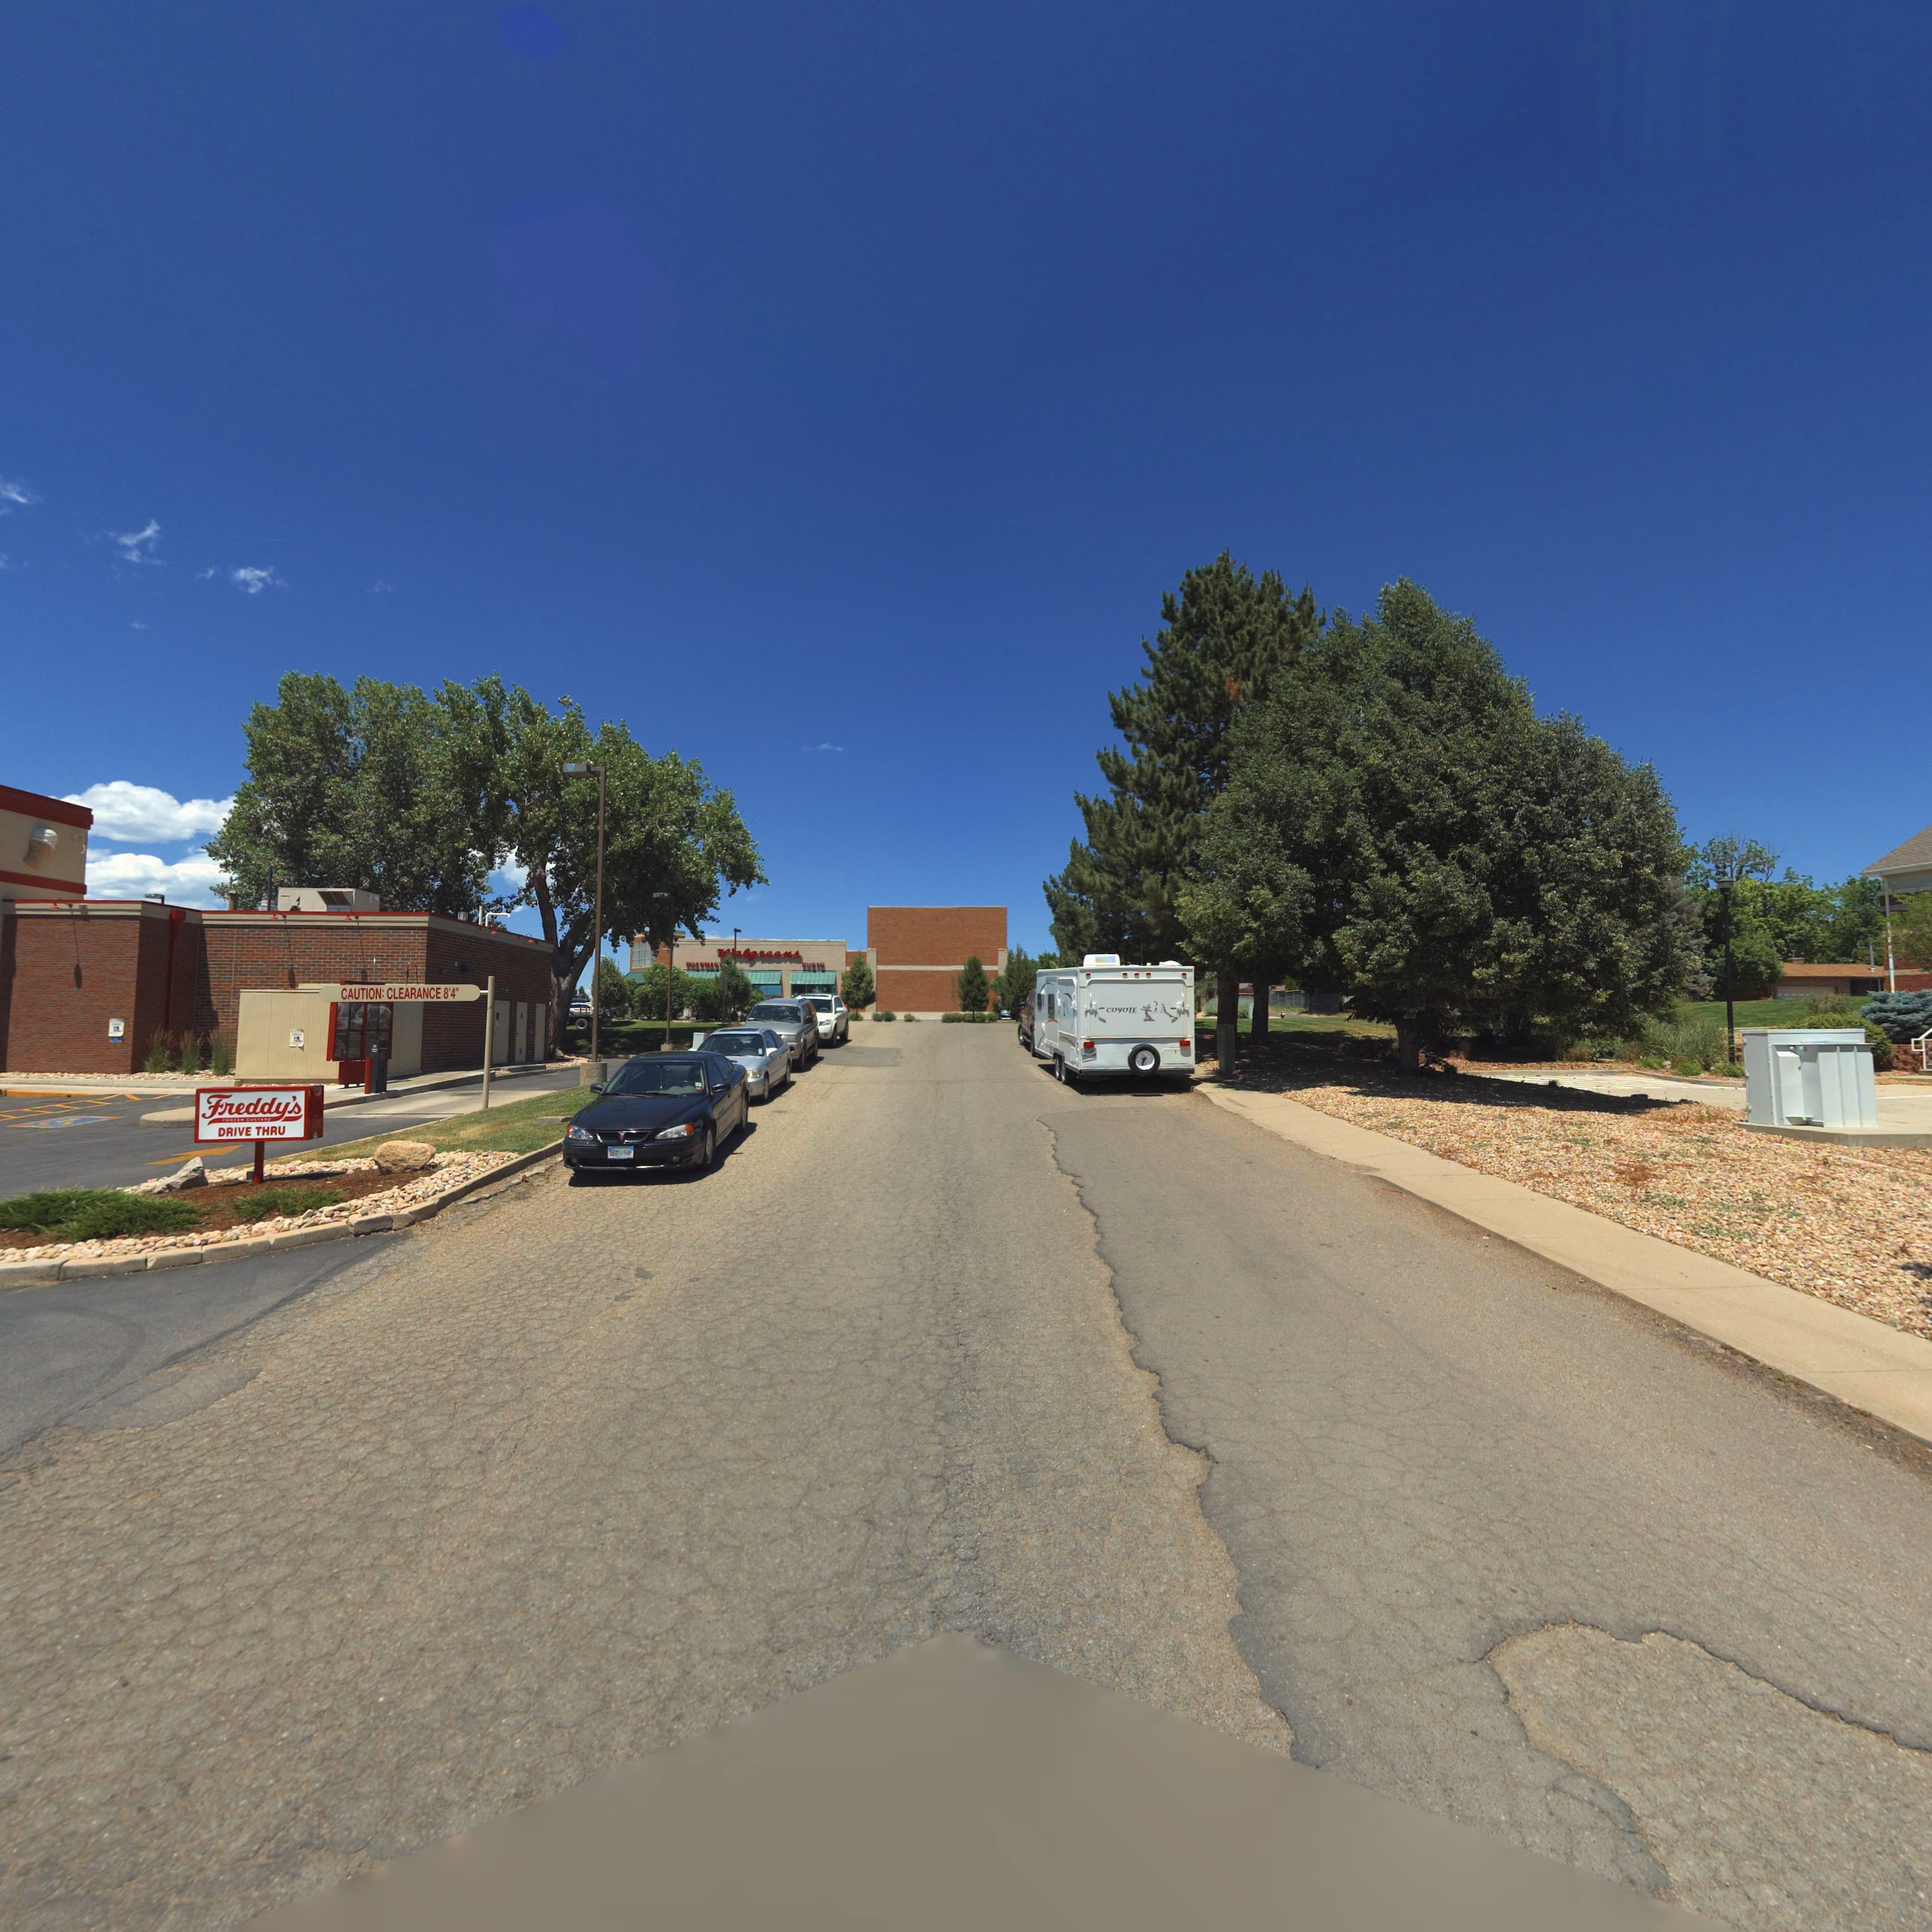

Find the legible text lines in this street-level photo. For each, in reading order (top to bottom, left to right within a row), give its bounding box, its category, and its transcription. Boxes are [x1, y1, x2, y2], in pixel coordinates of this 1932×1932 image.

[716, 947, 802, 961] BusinessName: W*lgreens
[201, 1093, 302, 1122] BusinessName: Freddy's
[222, 1117, 271, 1122] BusinessName: **OZEN CUSTARD